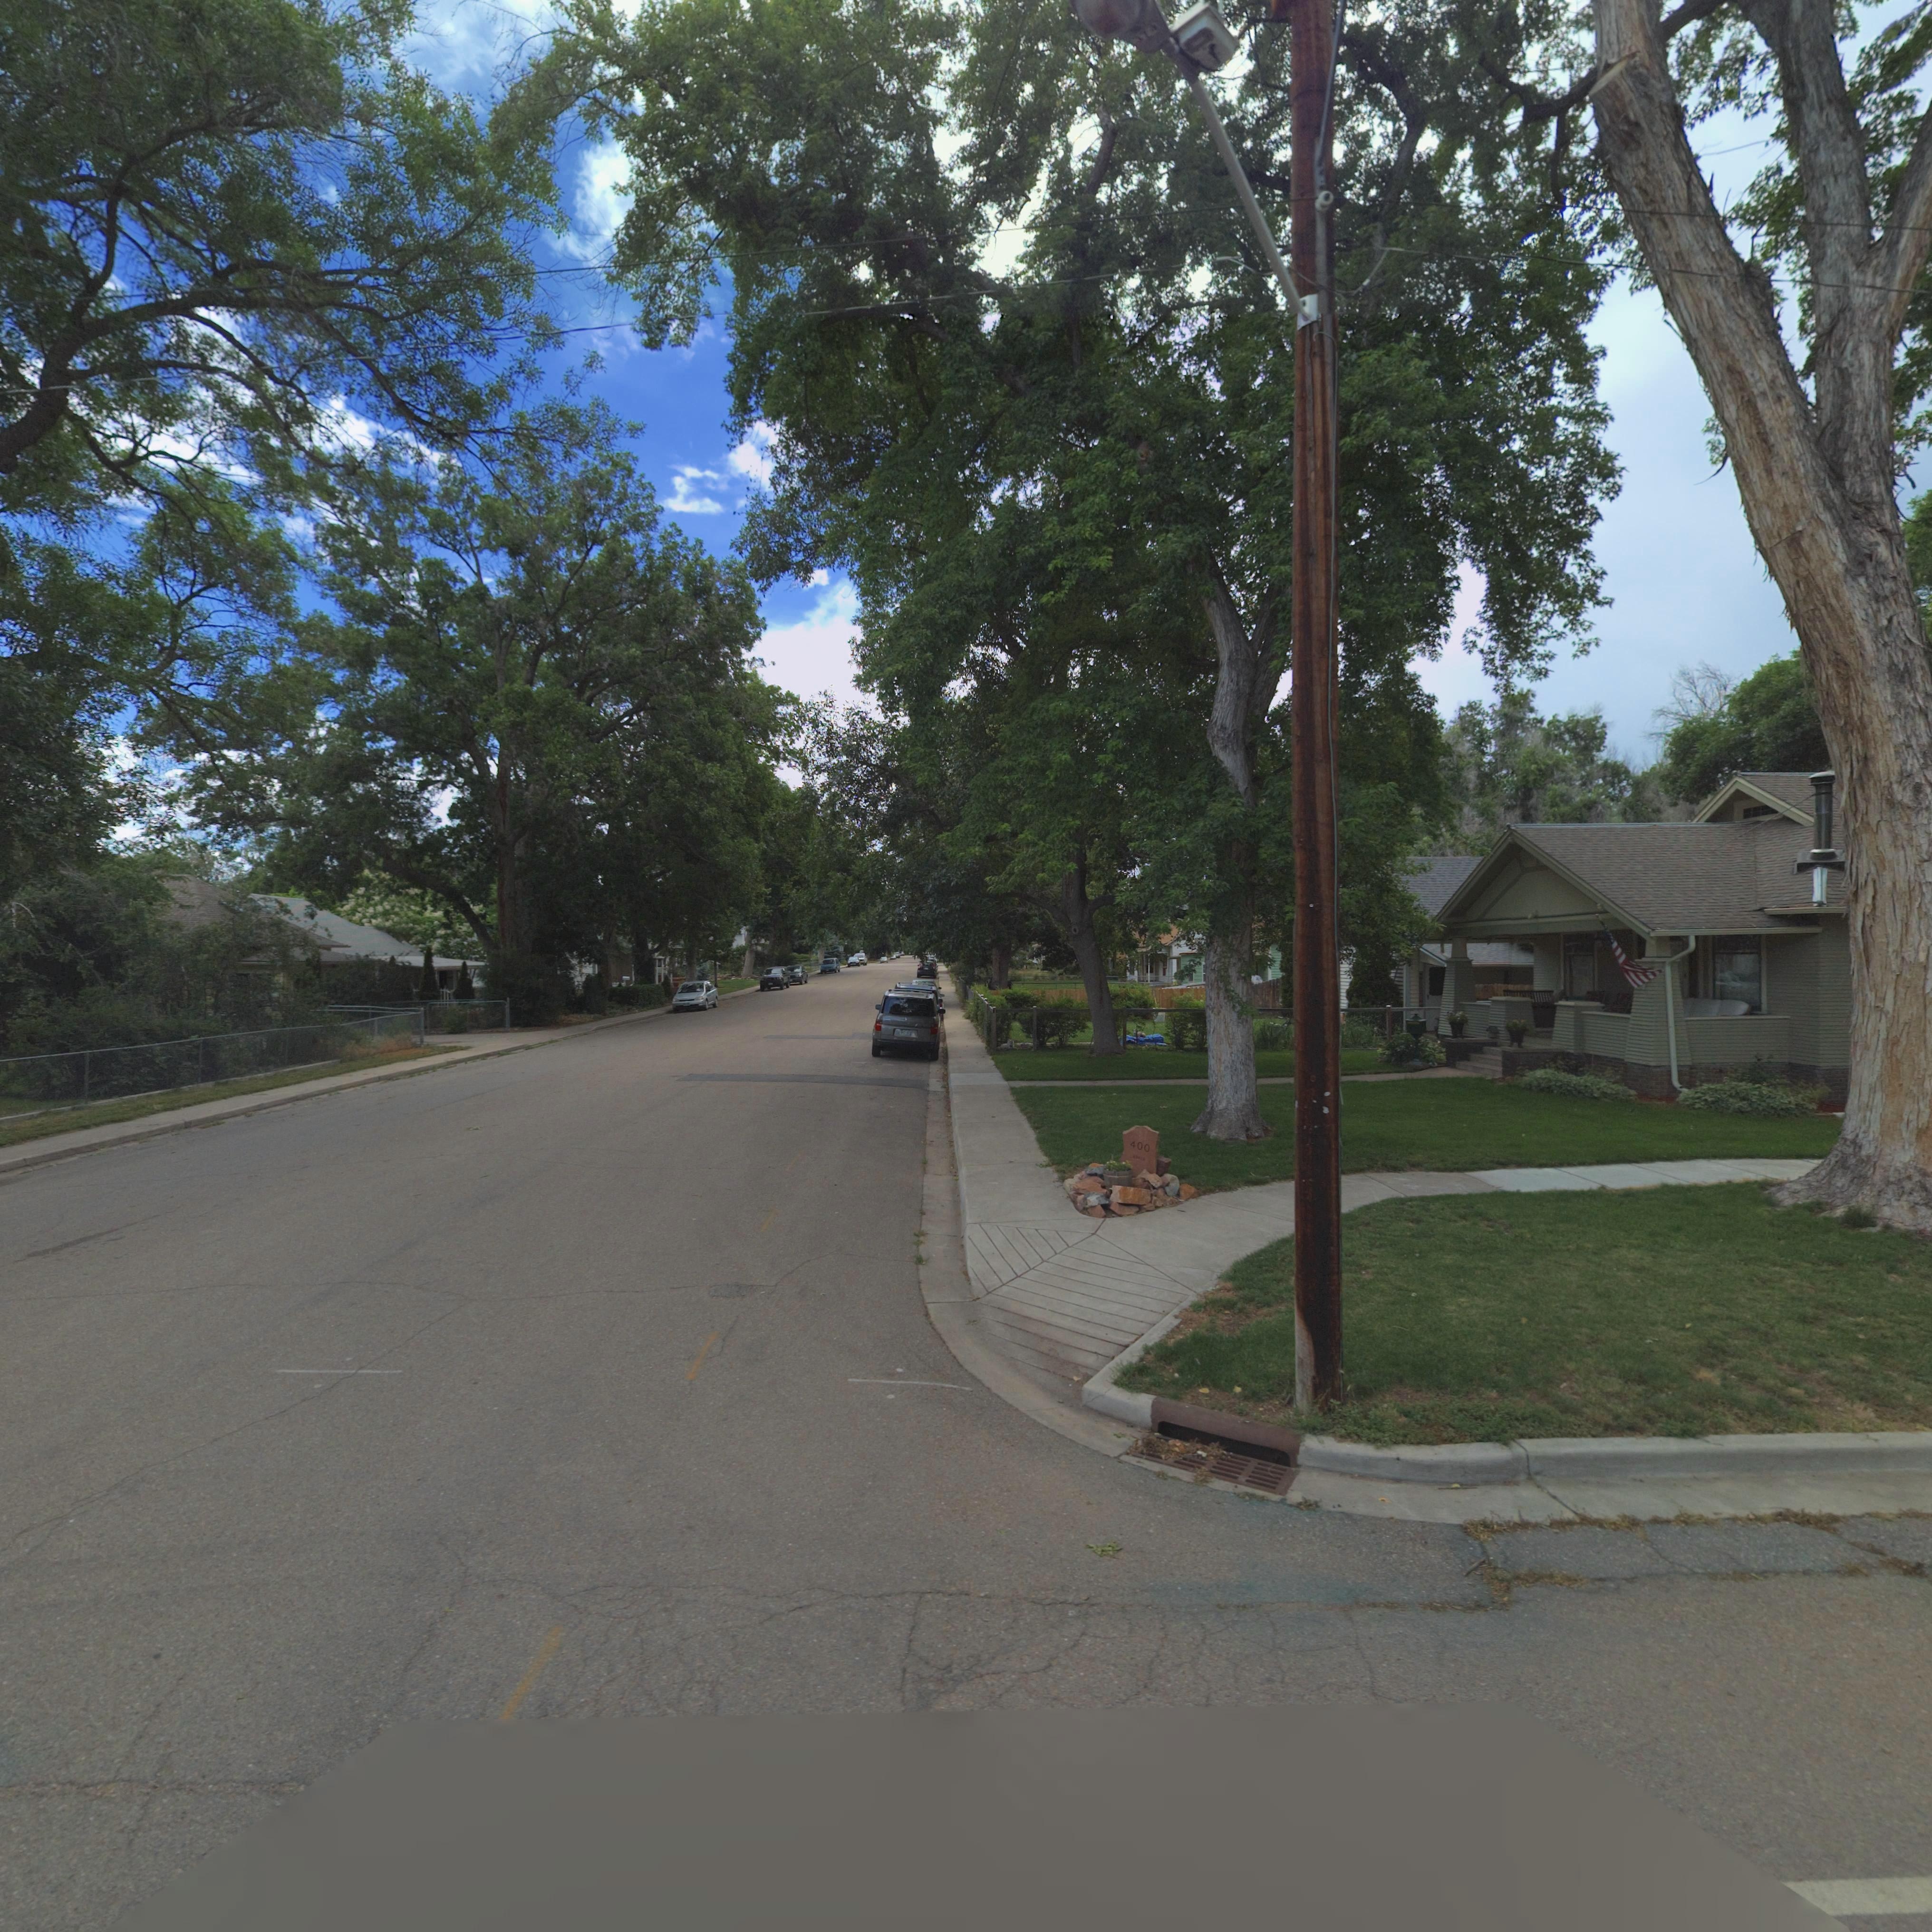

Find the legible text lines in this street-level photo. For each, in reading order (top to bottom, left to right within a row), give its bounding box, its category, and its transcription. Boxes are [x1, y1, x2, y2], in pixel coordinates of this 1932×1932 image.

[1130, 1140, 1150, 1152] StreetNumber: 400